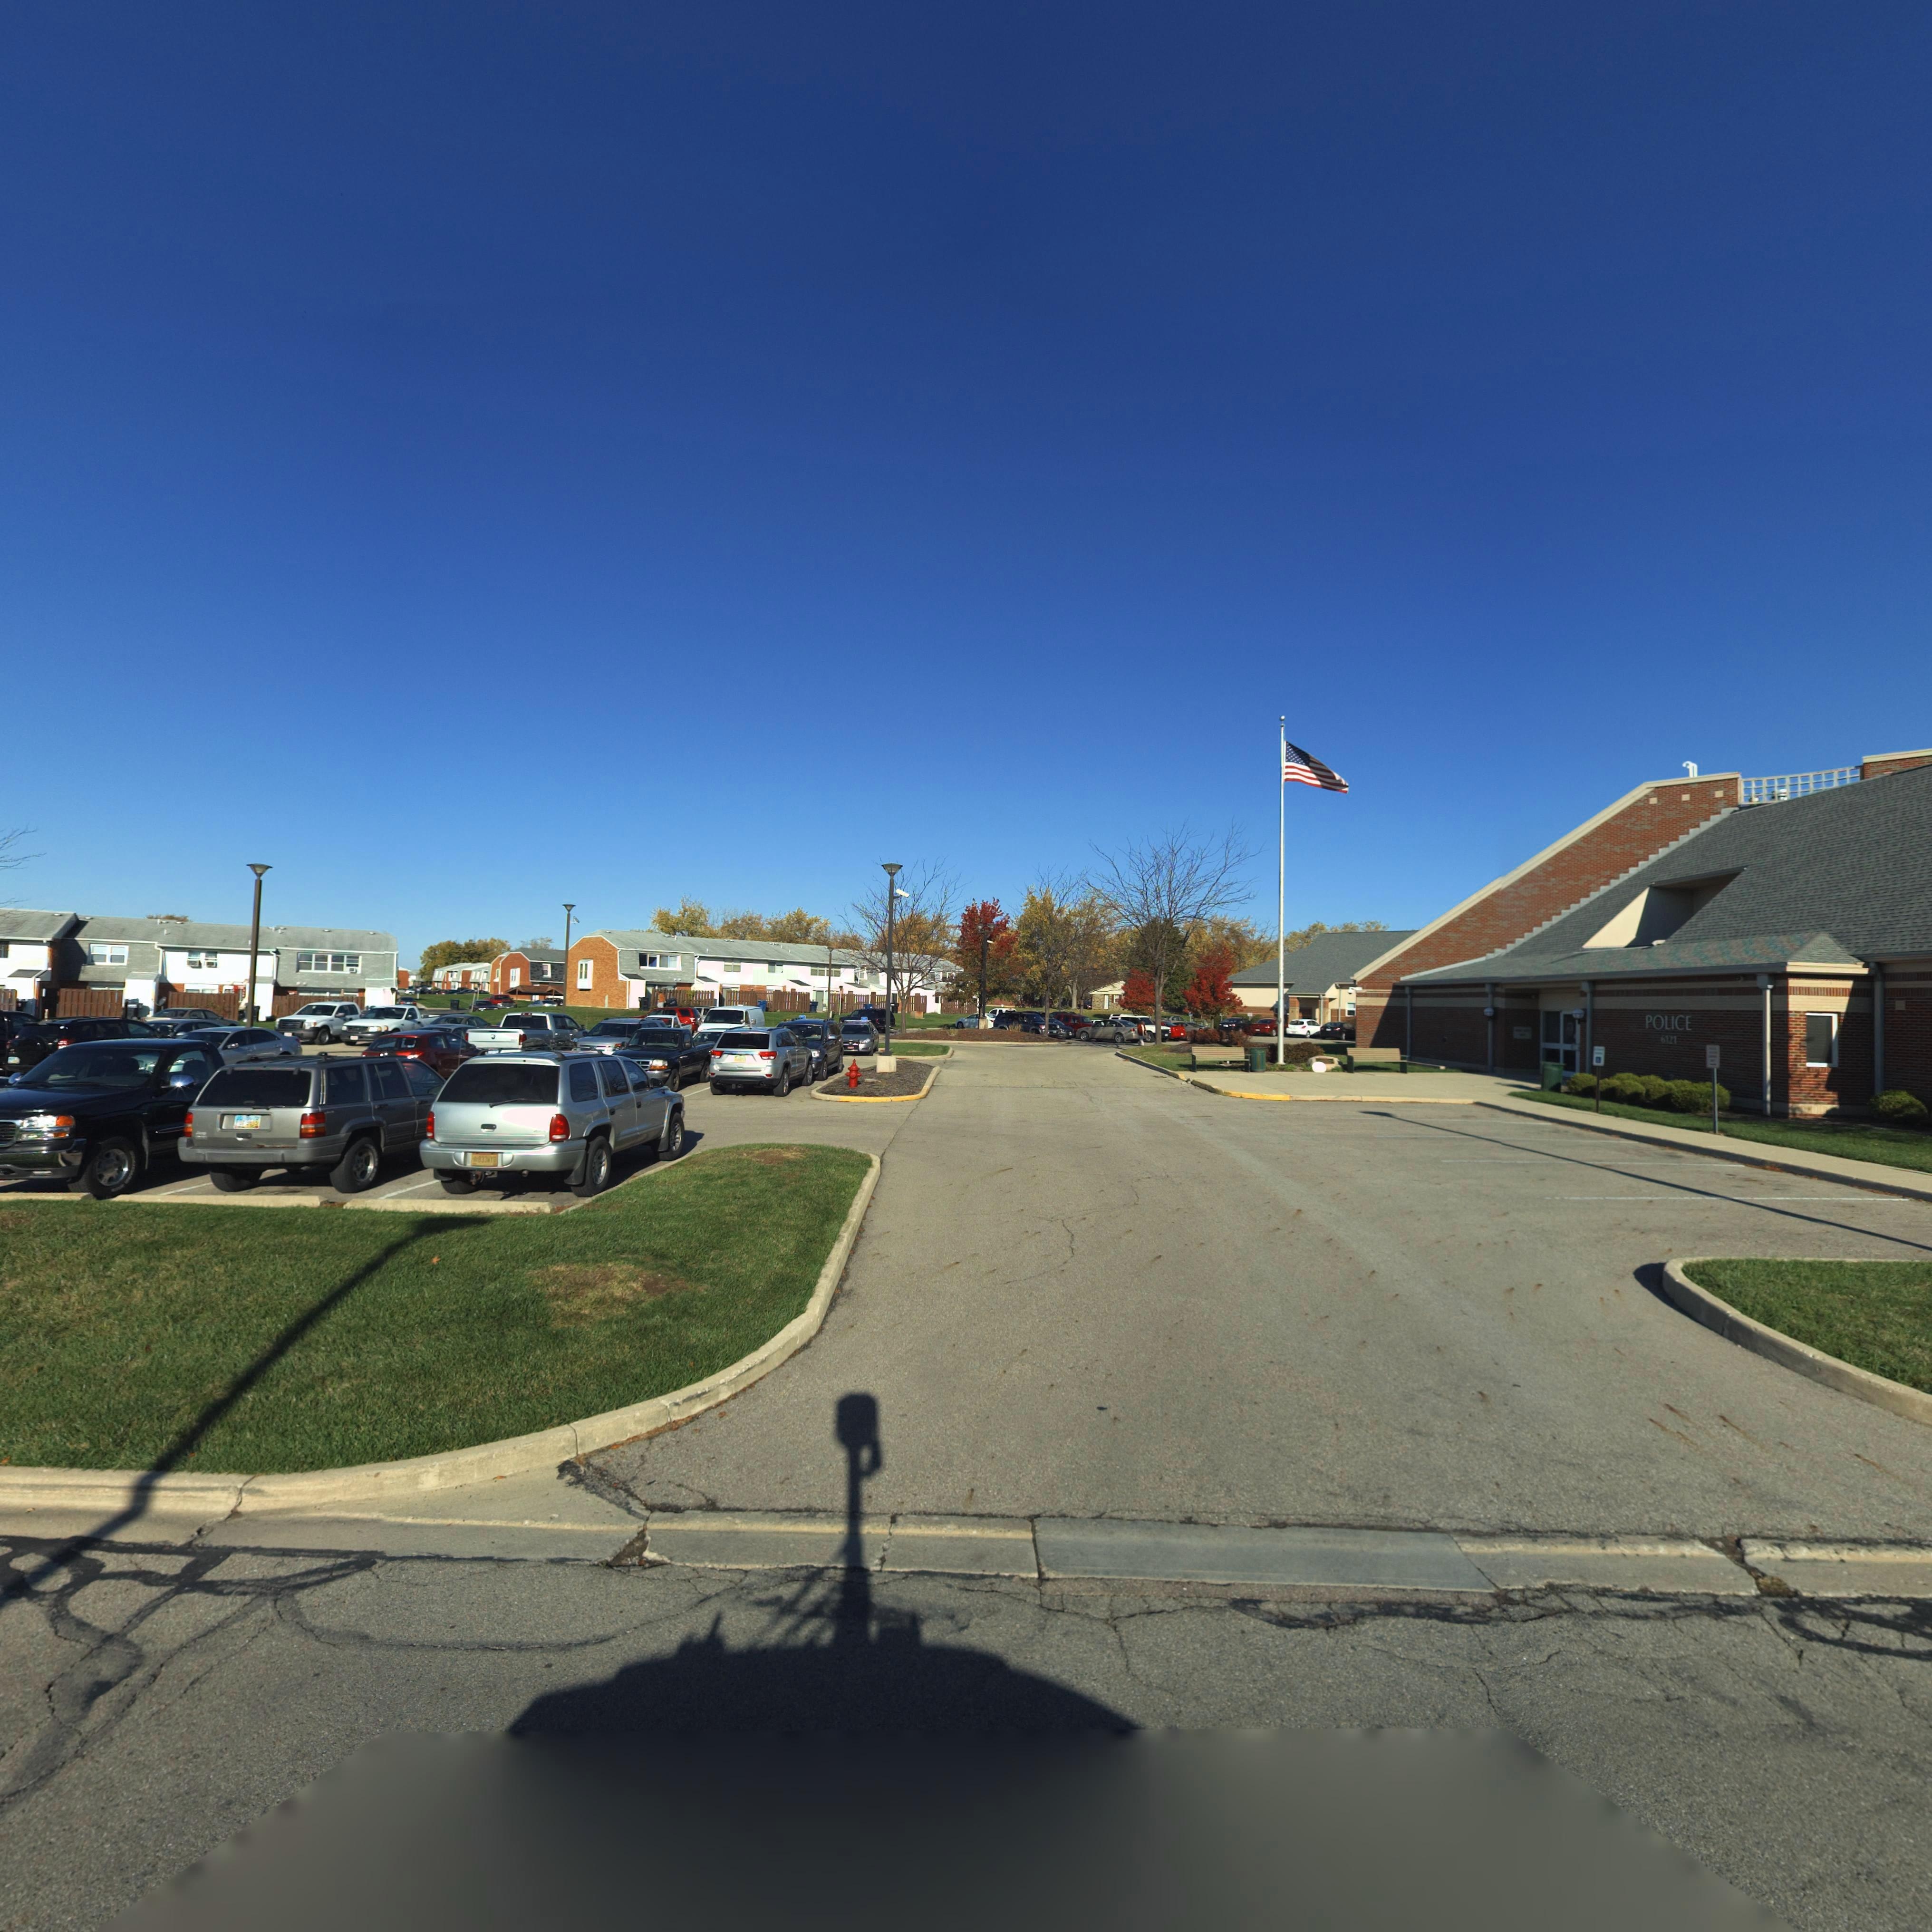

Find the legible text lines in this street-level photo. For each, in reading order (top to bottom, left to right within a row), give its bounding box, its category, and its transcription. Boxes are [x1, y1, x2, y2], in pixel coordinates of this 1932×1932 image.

[1660, 1034, 1677, 1045] StreetNumber: 6121